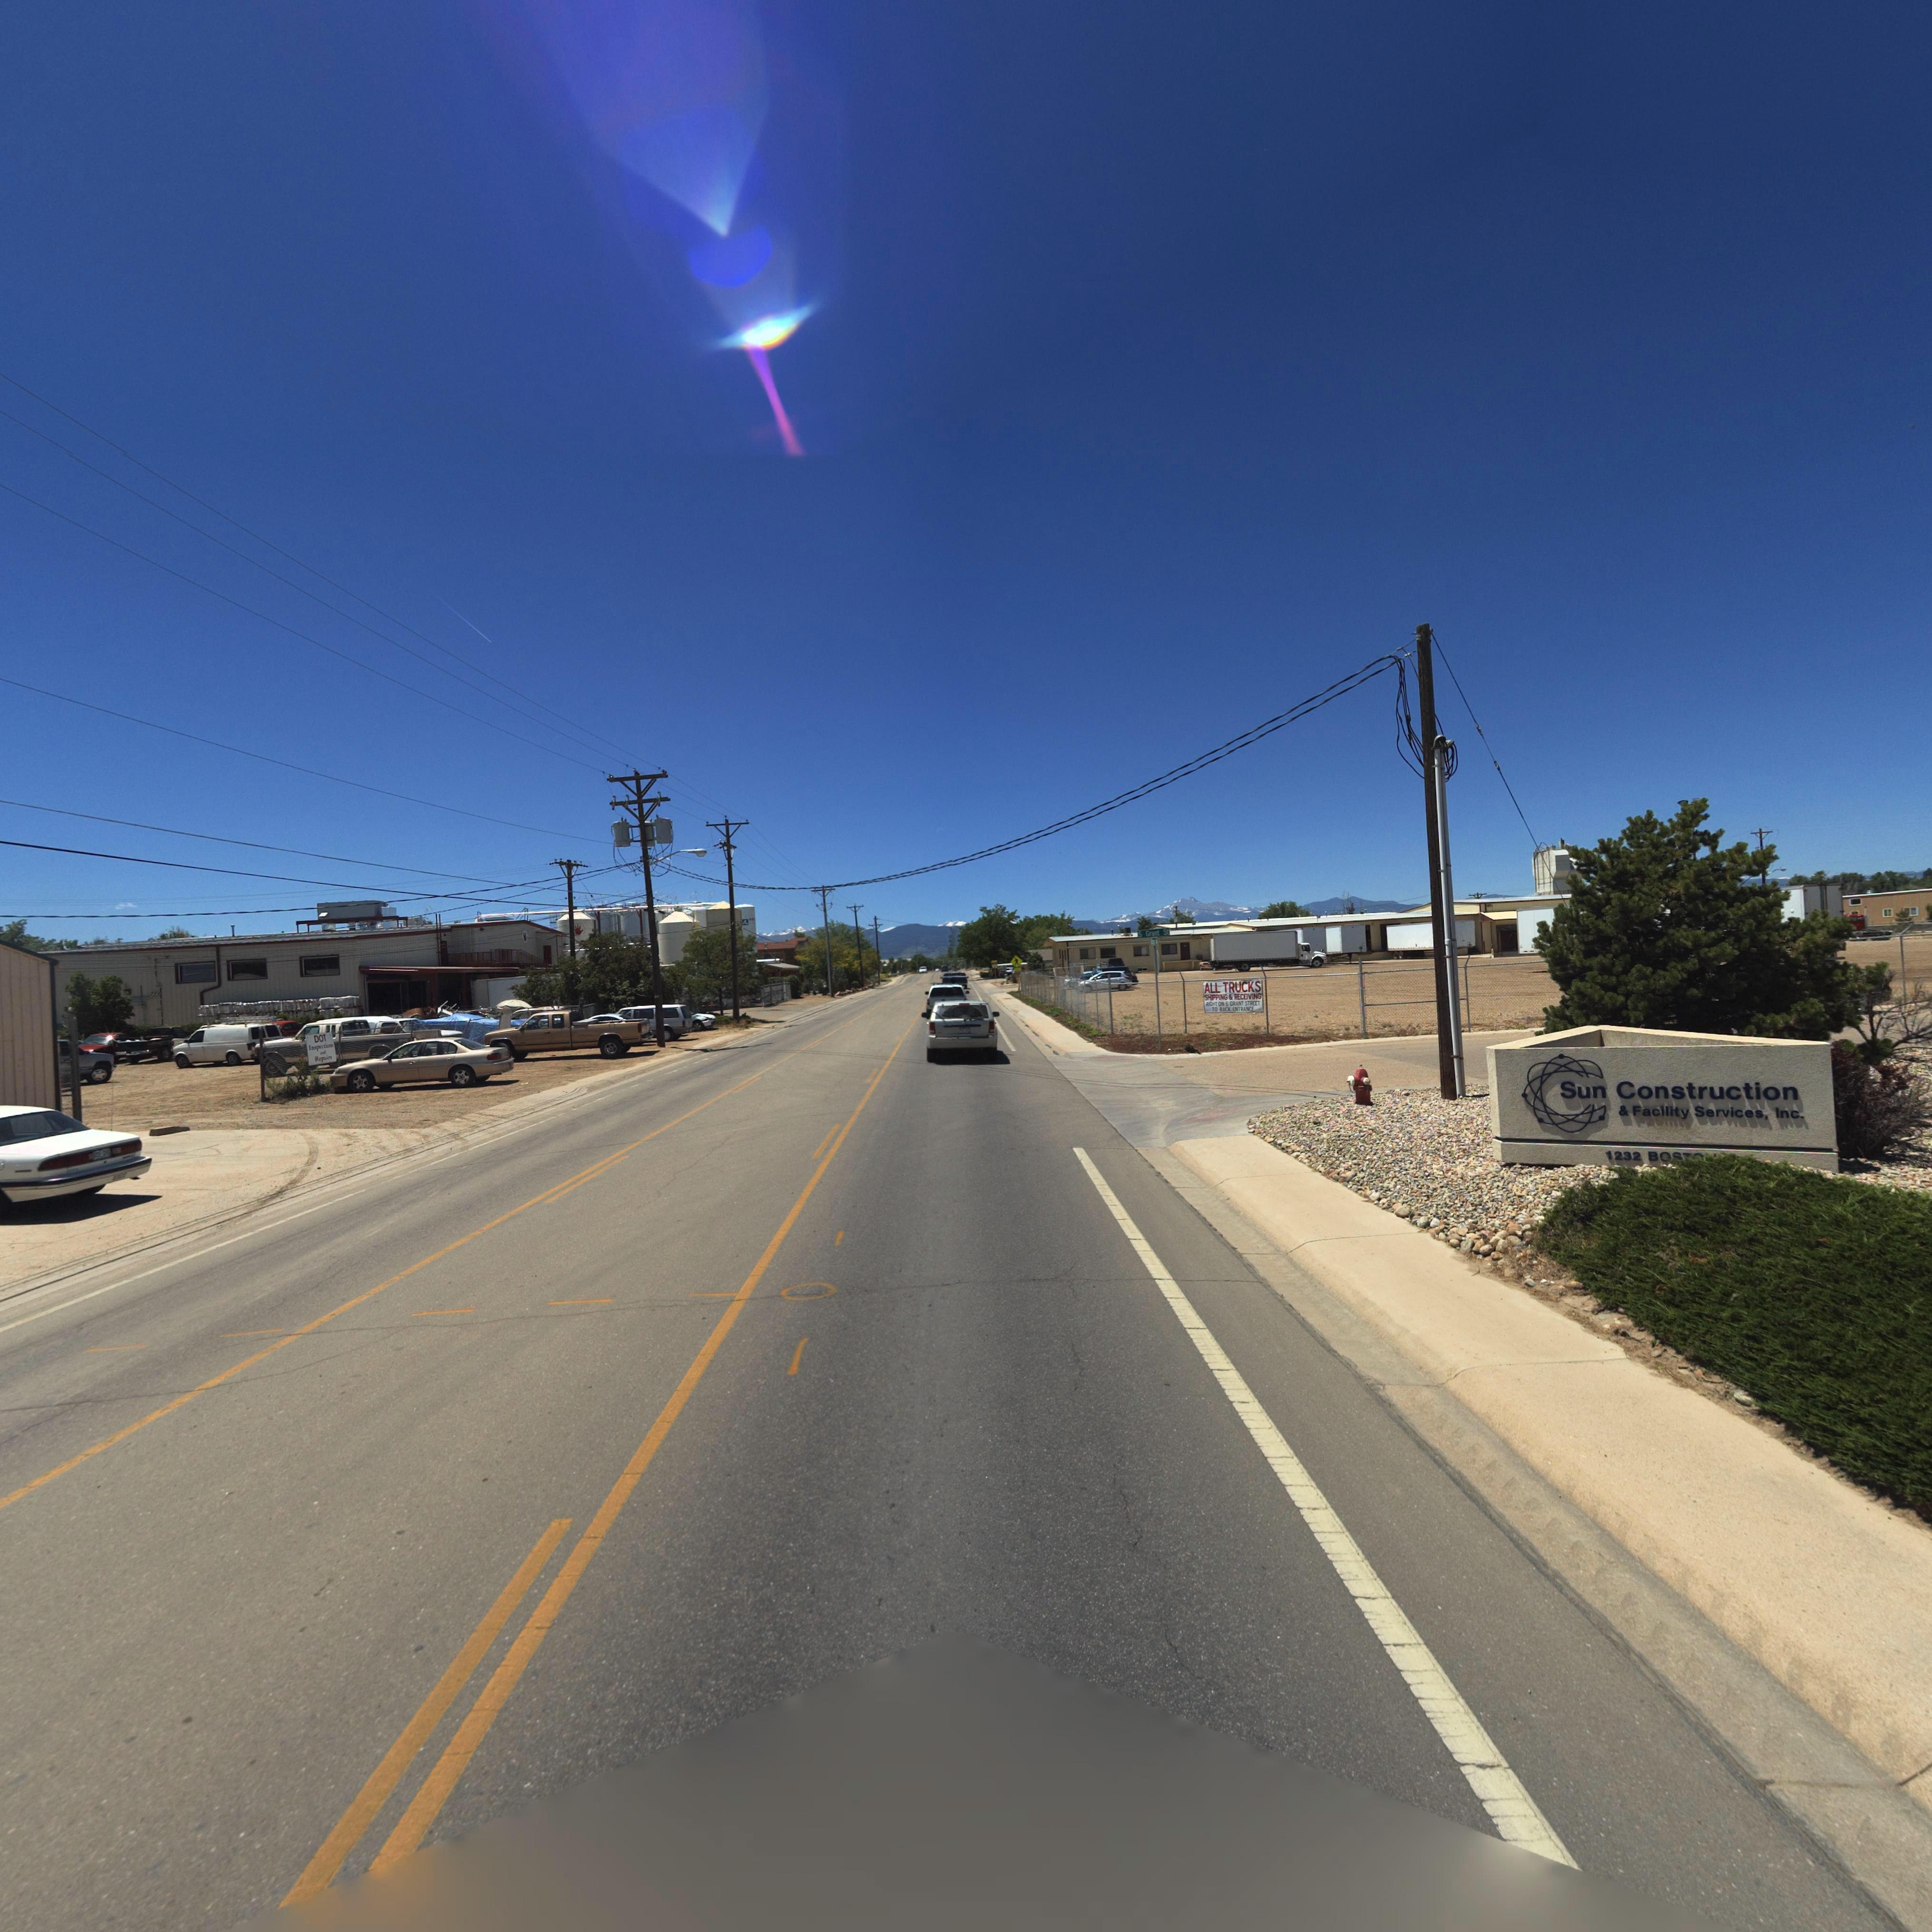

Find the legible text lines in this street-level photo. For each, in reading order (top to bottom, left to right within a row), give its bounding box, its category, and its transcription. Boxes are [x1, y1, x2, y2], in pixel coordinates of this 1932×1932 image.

[1138, 928, 1169, 937] StreetName: S Grant St
[1559, 1080, 1799, 1101] BusinessName: Sun Construction
[1618, 1104, 1805, 1121] BusinessName: & Facility Services, Inc.
[1605, 1150, 1641, 1161] StreetNumber: 1232
[1648, 1151, 1717, 1163] StreetName: BOSTO*